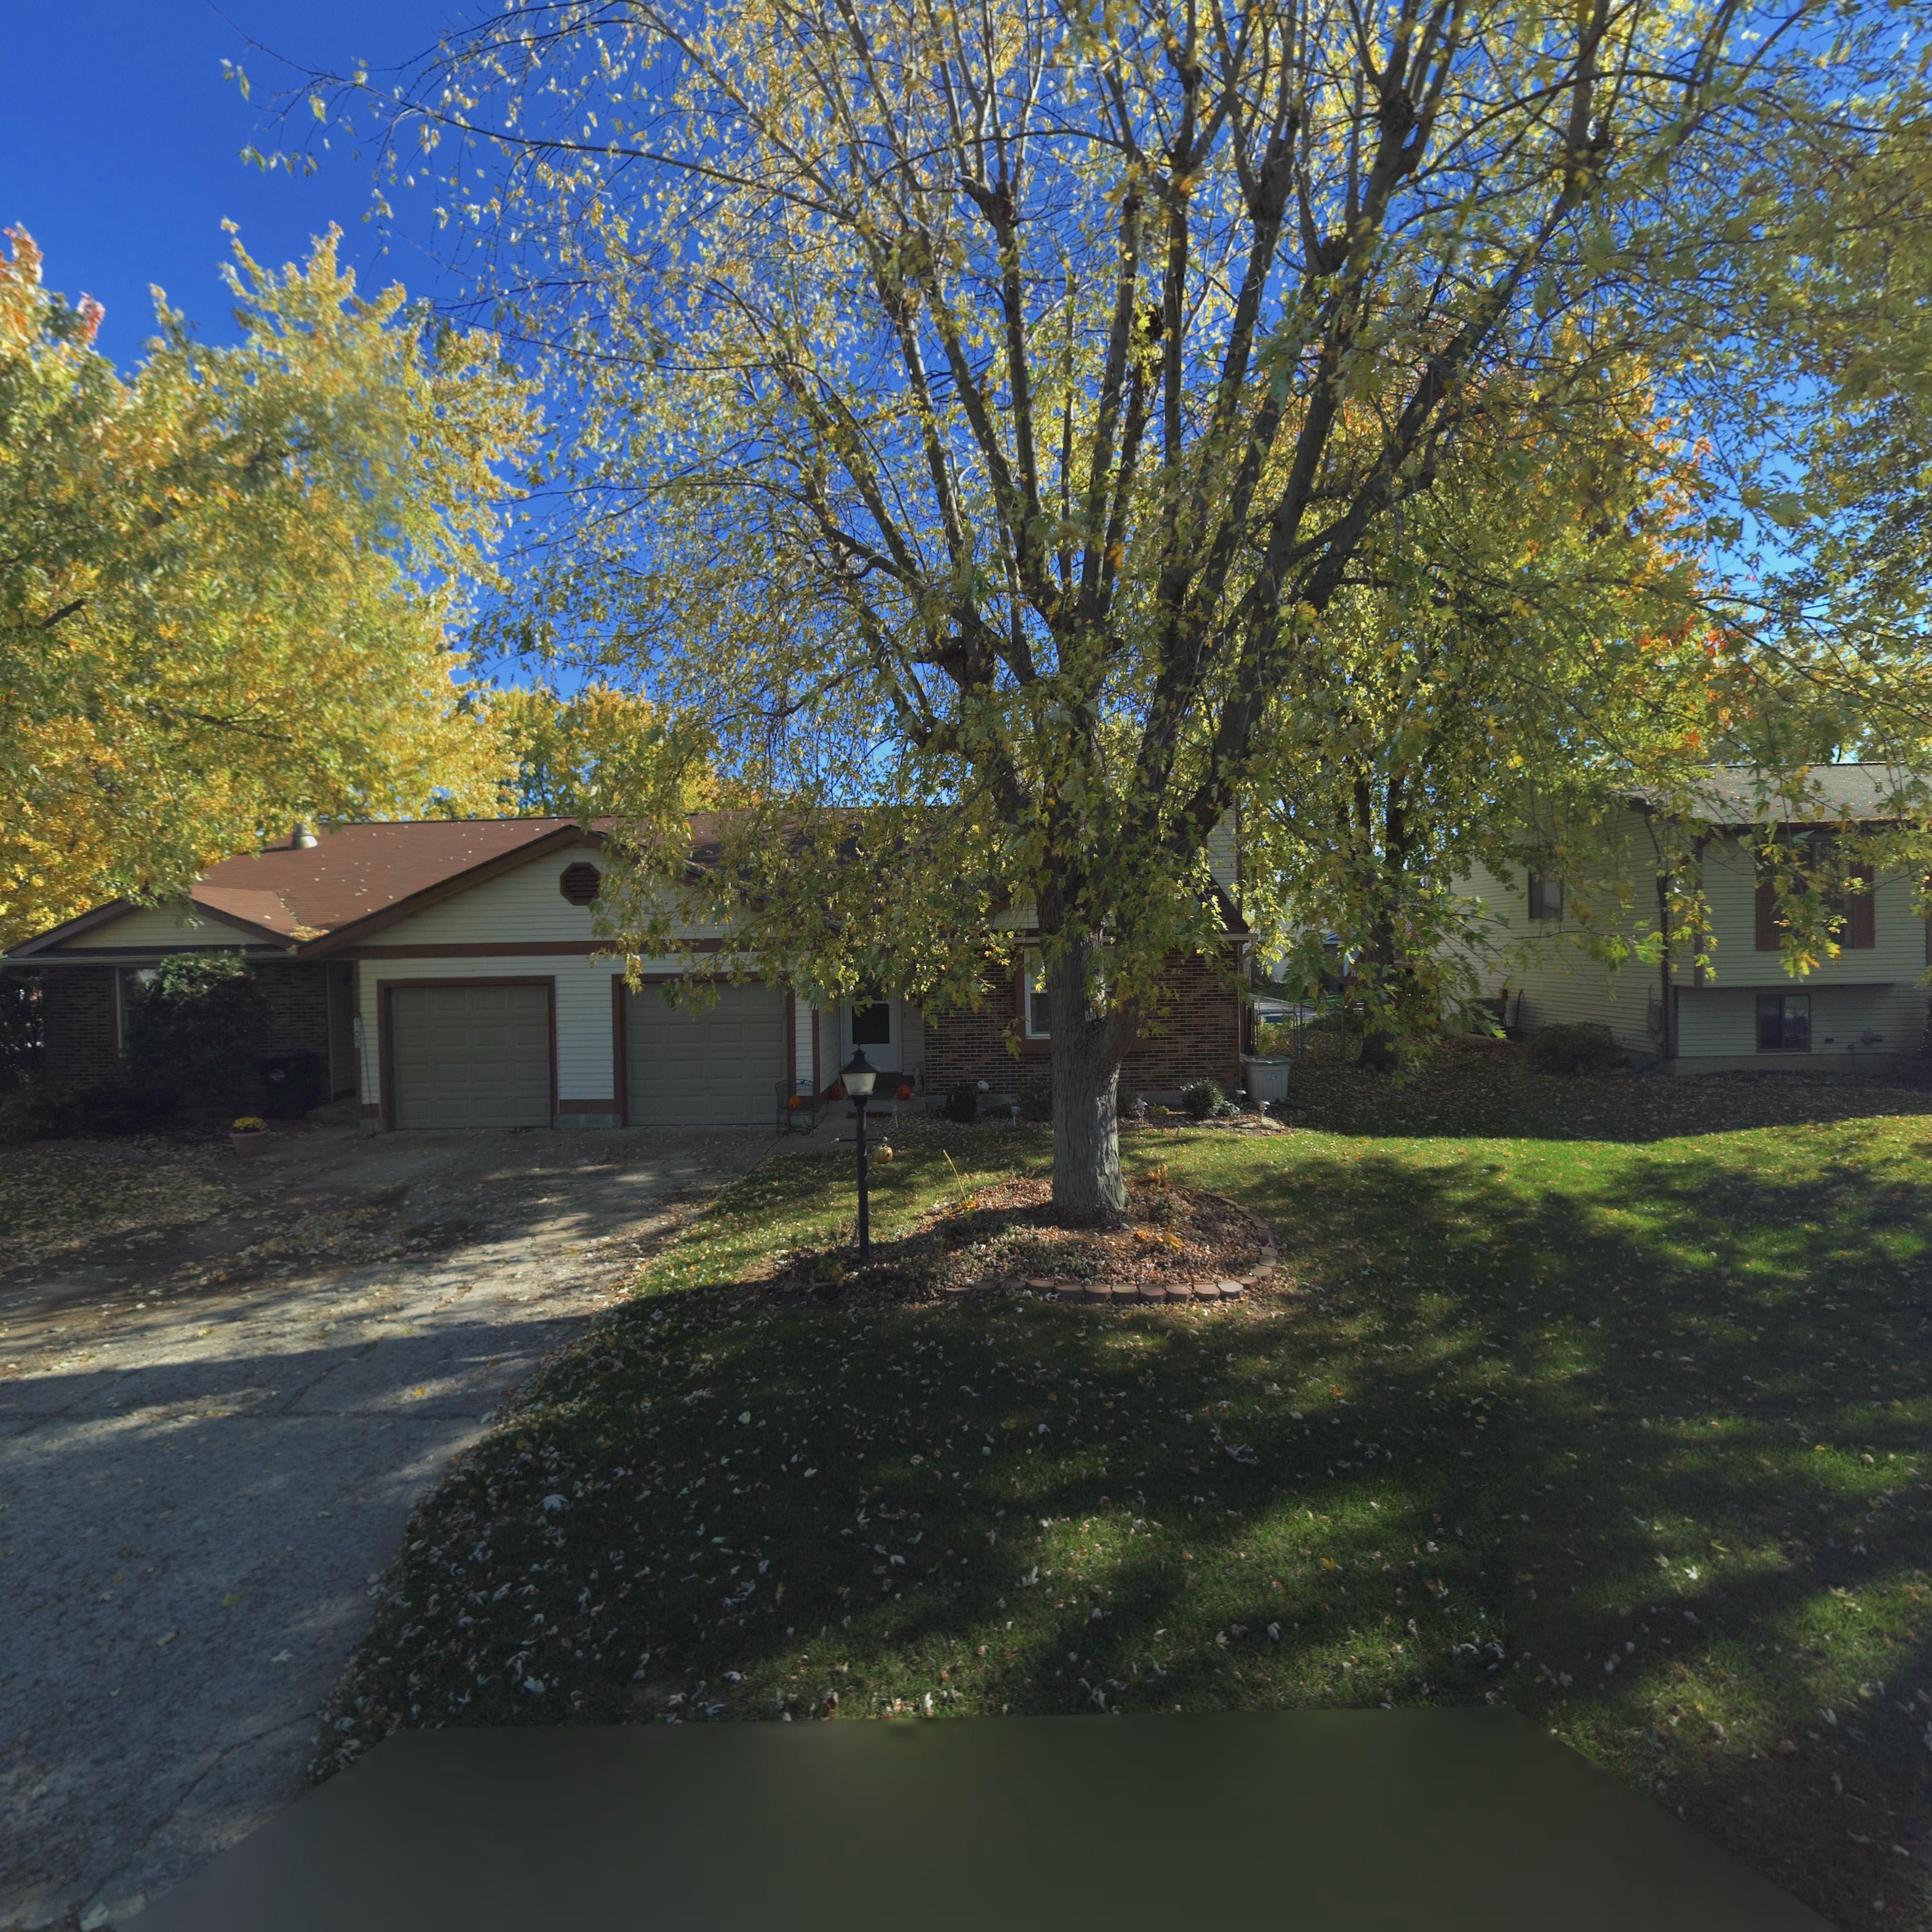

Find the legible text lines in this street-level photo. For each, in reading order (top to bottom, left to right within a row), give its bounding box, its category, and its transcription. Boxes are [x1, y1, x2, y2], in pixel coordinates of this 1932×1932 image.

[353, 1018, 361, 1048] StreetNumber: 165